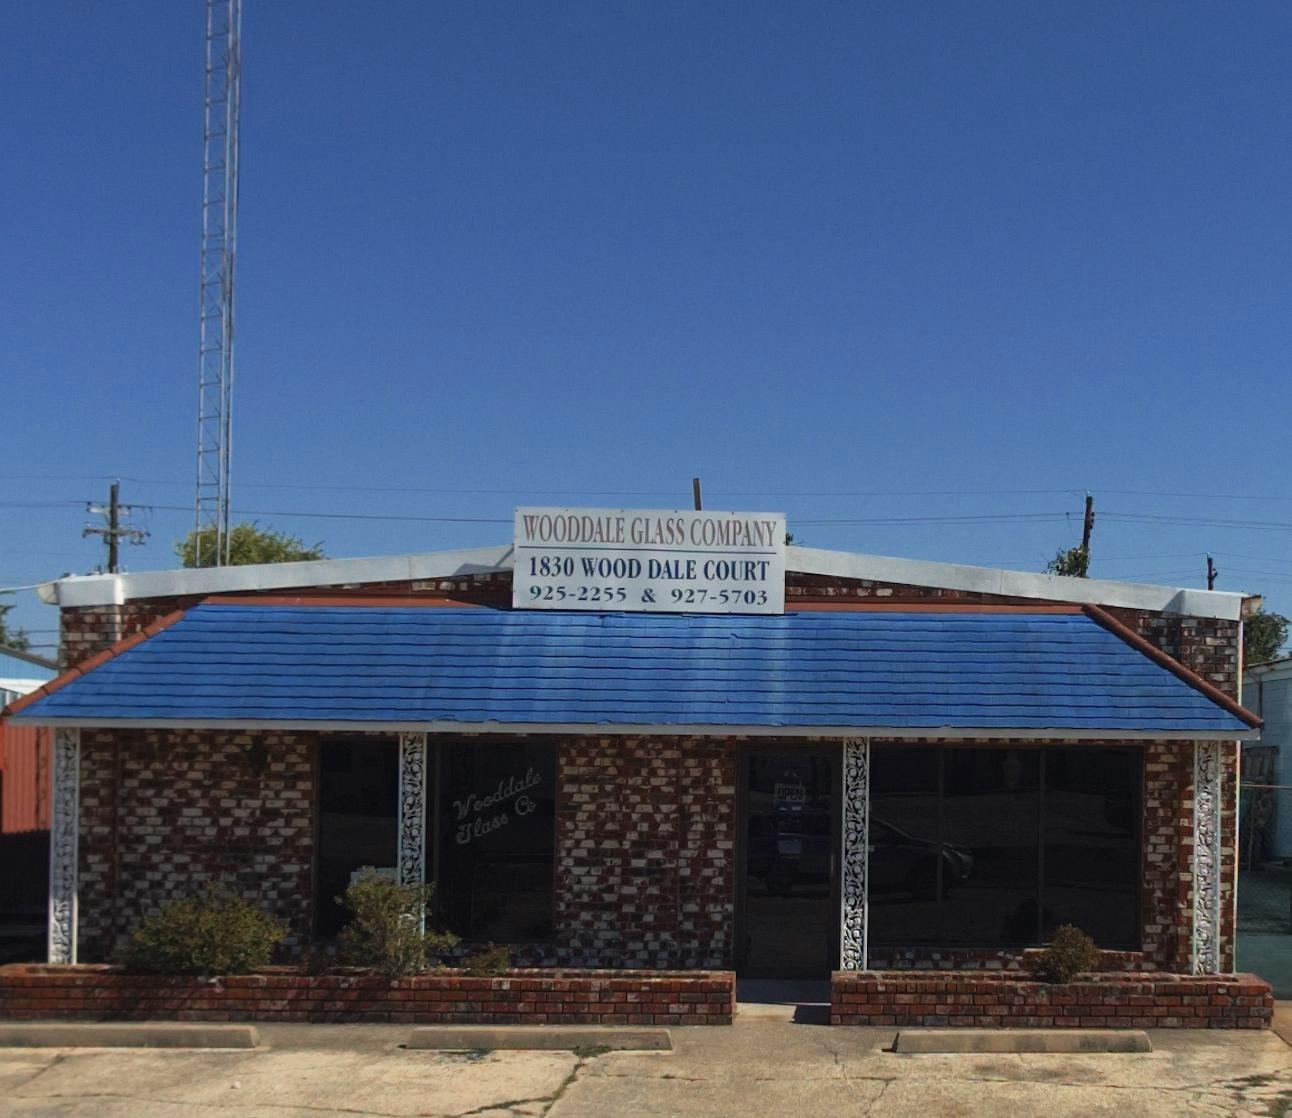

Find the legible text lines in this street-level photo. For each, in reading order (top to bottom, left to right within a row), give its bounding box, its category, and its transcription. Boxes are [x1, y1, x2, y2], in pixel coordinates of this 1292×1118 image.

[519, 511, 781, 551] BusinessName: WOODDALE GLASS COMPANY
[527, 554, 577, 579] StreetNumber: 1830
[576, 554, 773, 583] StreetName: WOOD DALE COURT
[527, 583, 770, 609] None: 925-2255 & 927-5703
[448, 763, 545, 825] BusinessName: Wooddale
[776, 785, 806, 802] None: OPEN
[451, 792, 540, 847] BusinessName: Glass Co.